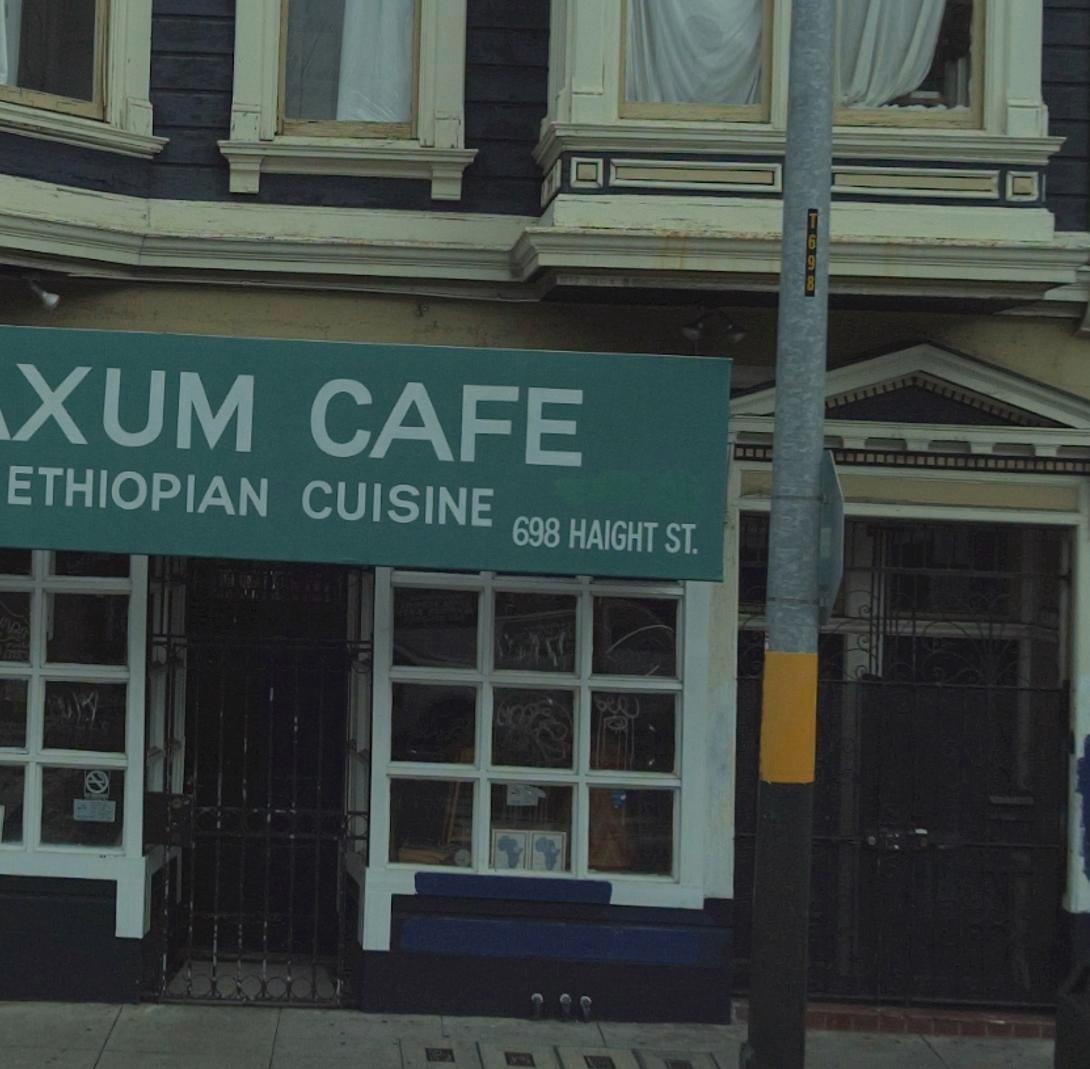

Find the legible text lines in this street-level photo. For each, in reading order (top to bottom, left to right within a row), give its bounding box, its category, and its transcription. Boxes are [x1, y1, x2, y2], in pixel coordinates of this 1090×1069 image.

[804, 209, 820, 295] None: T698
[6, 355, 591, 473] BusinessName: XUM CAFE
[2, 460, 498, 531] None: ETHIOPIAN CUISINE
[509, 512, 564, 551] StreetNumber: 698
[564, 514, 701, 558] StreetName: HAIGHT ST.